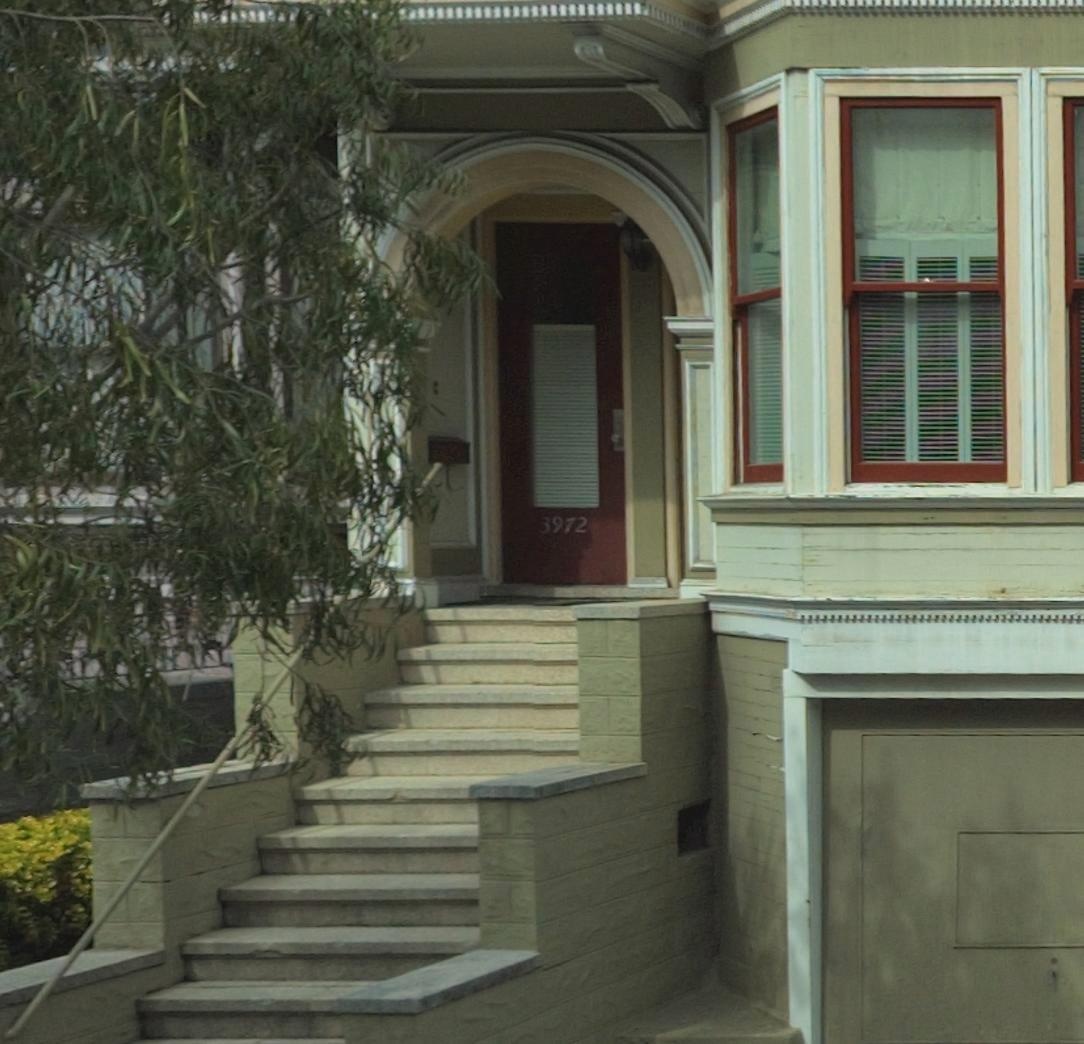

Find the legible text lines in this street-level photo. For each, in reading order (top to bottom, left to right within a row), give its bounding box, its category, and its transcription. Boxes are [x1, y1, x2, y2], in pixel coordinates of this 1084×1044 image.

[538, 516, 588, 534] StreetNumber: 3972